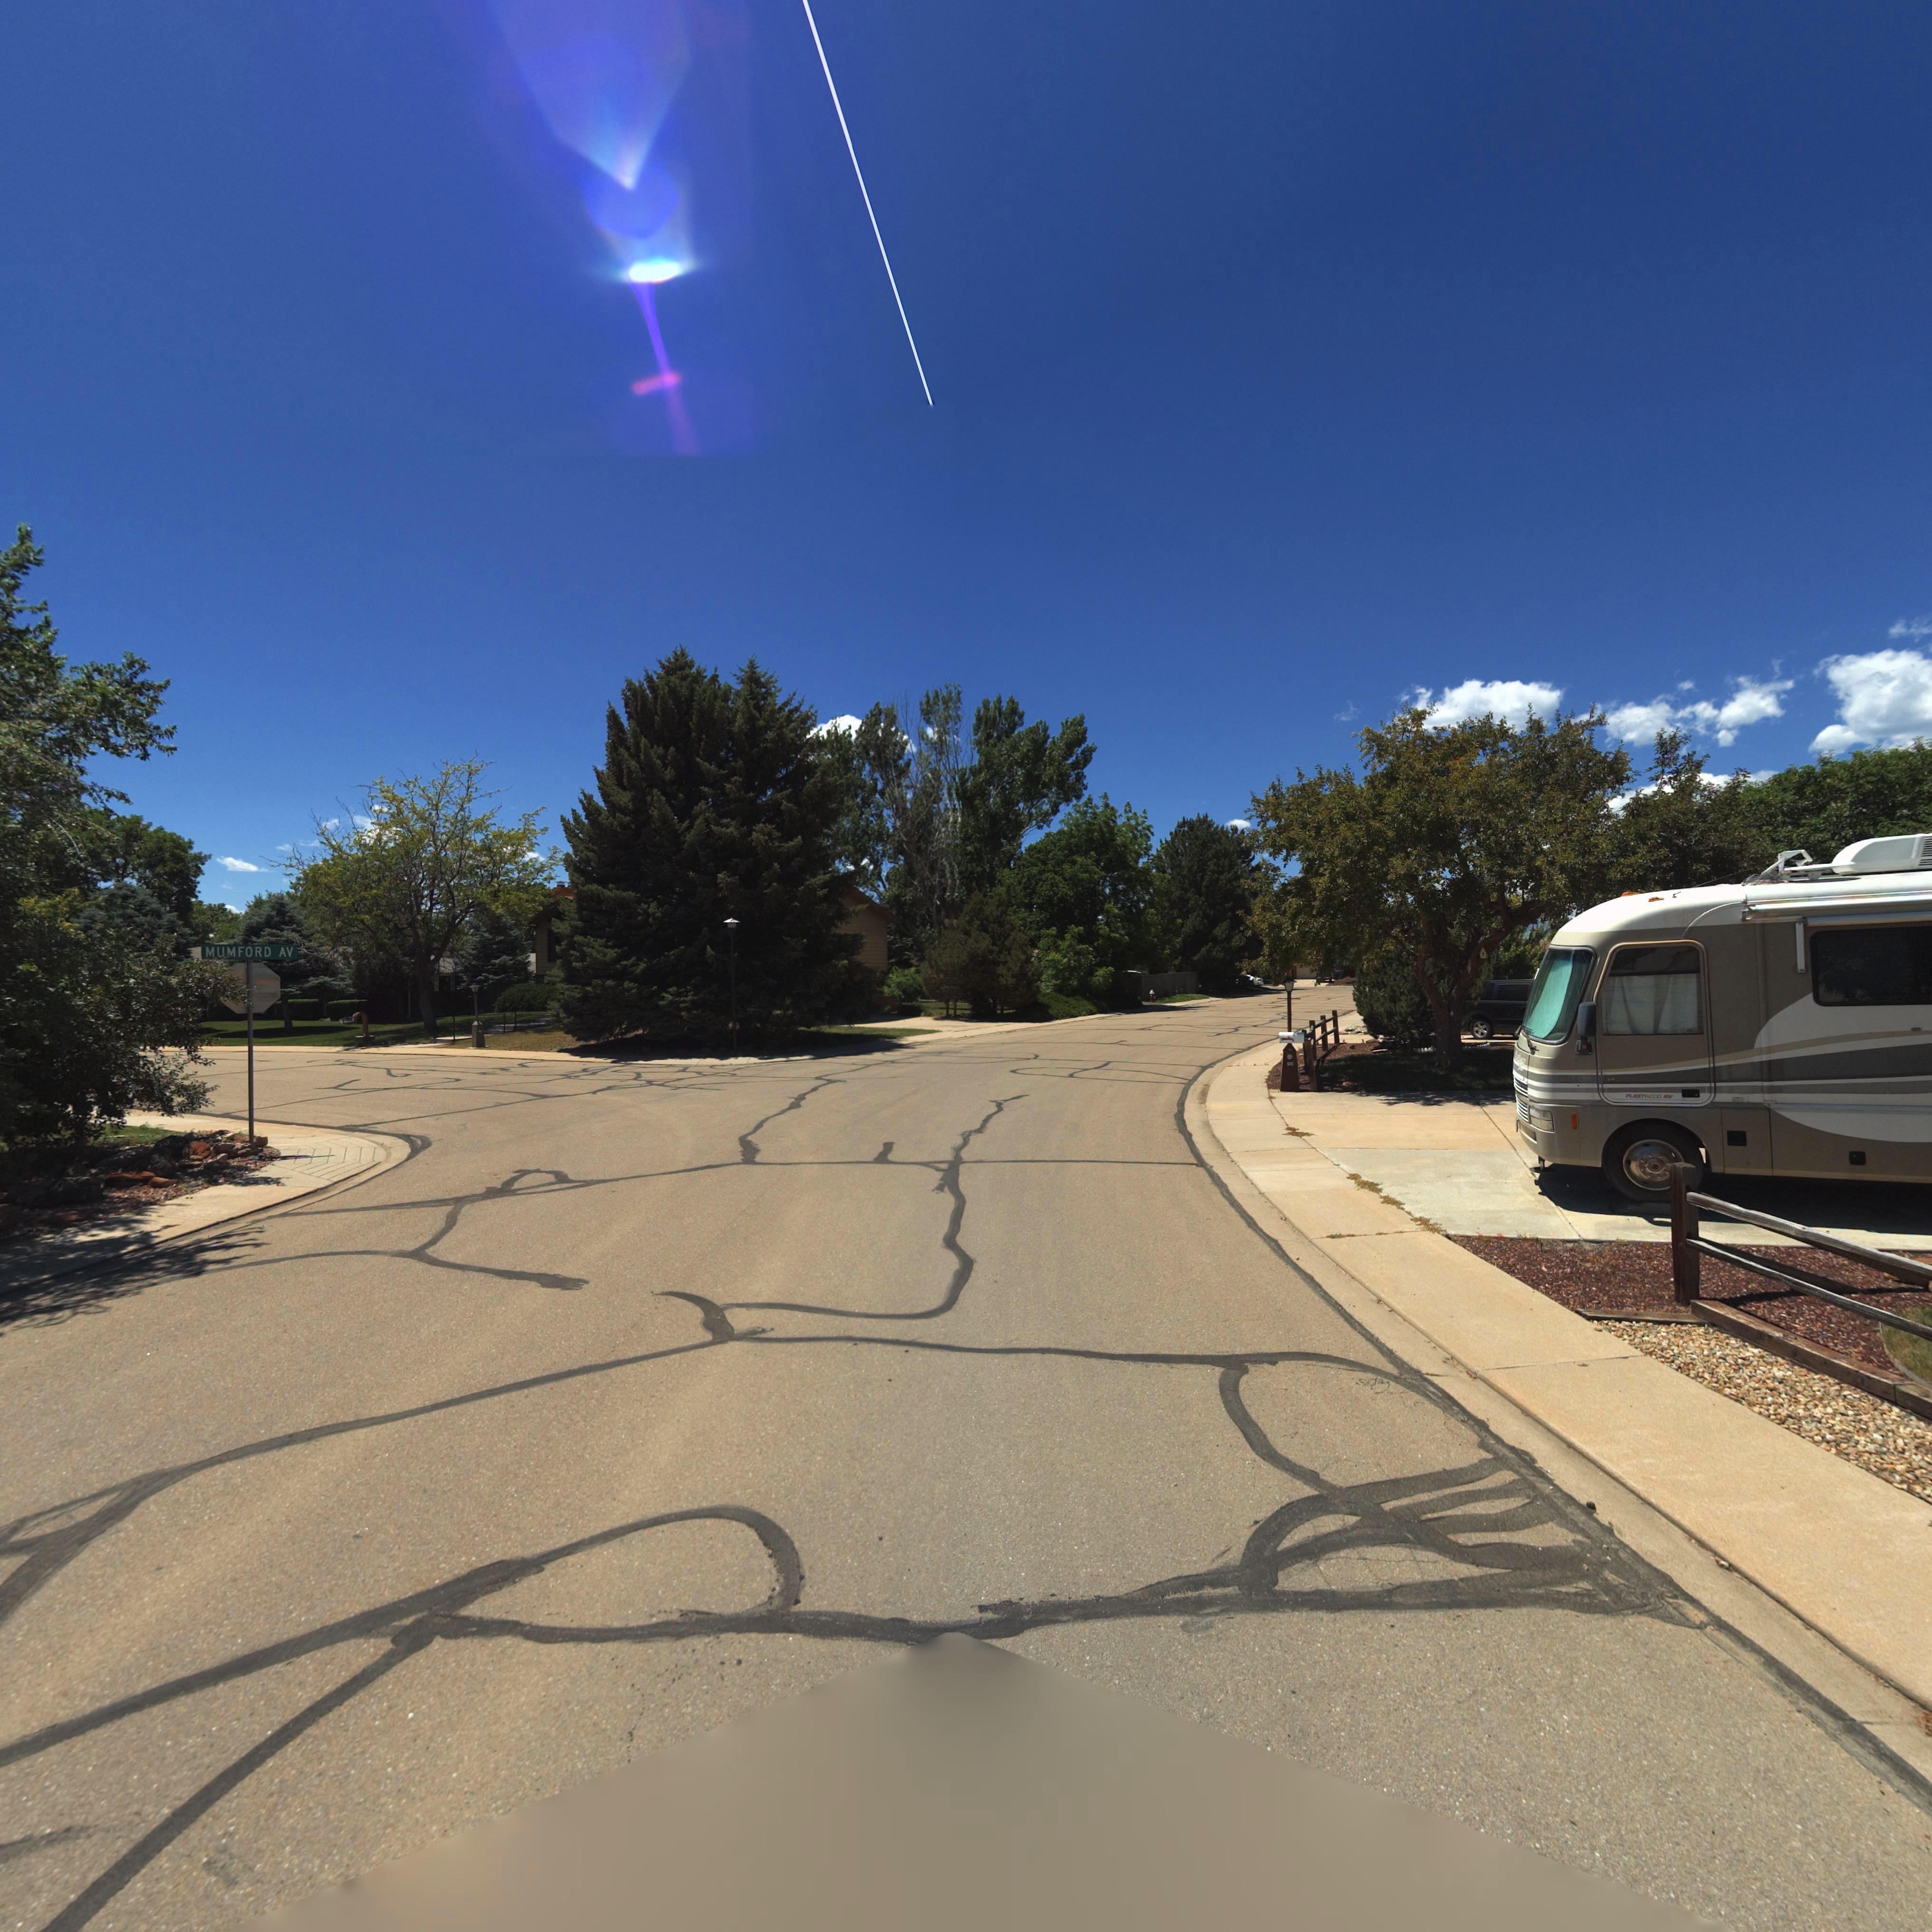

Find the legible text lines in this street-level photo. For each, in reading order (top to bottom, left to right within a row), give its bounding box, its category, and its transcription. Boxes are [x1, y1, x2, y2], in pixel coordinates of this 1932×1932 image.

[205, 947, 293, 957] StreetName: MUMFORD AV